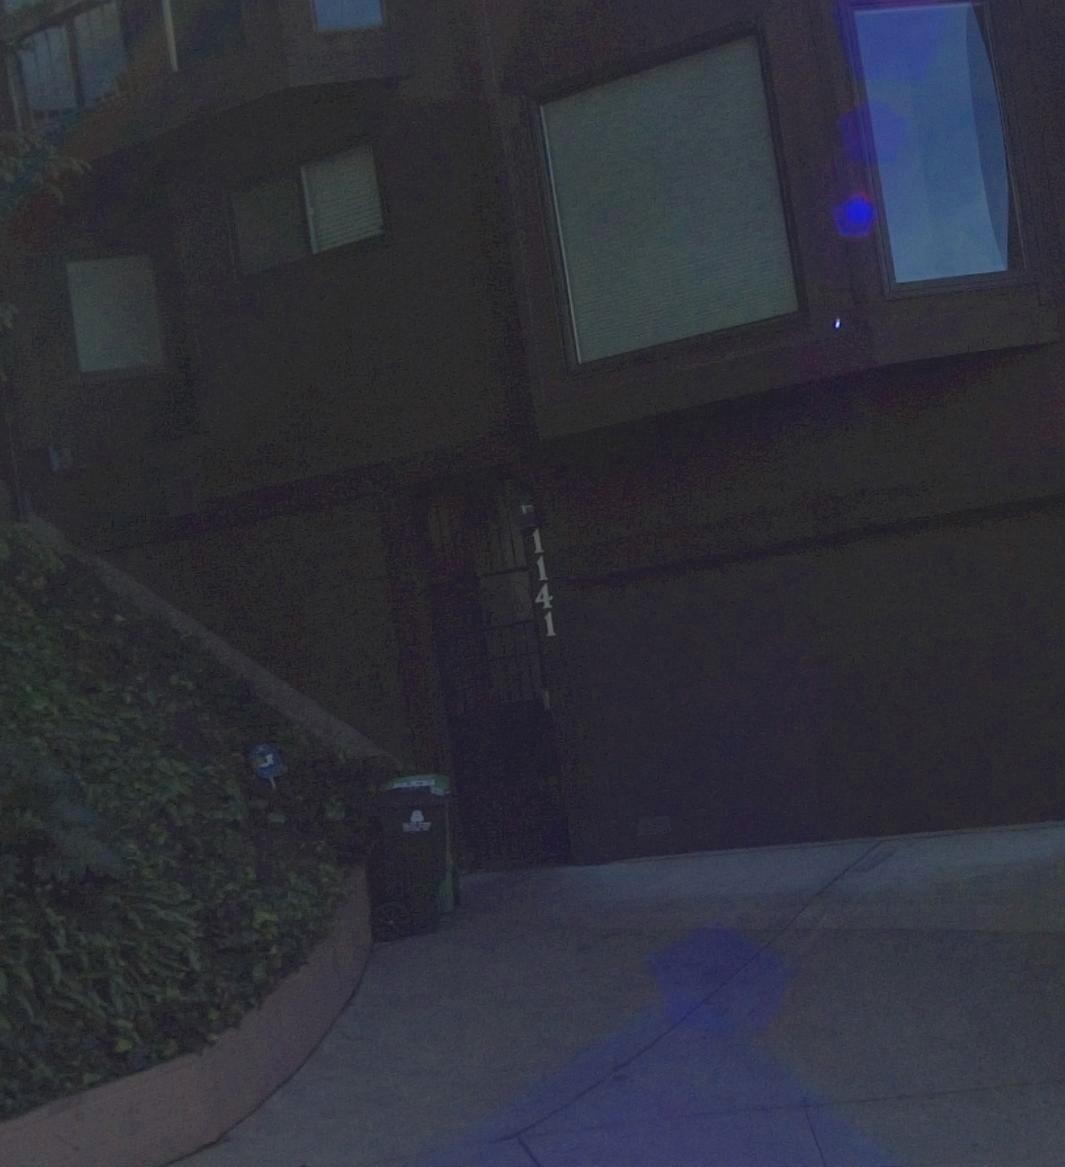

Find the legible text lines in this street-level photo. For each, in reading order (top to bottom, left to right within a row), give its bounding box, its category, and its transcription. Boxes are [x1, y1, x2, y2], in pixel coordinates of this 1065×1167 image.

[529, 524, 561, 640] StreetNumber: 1141